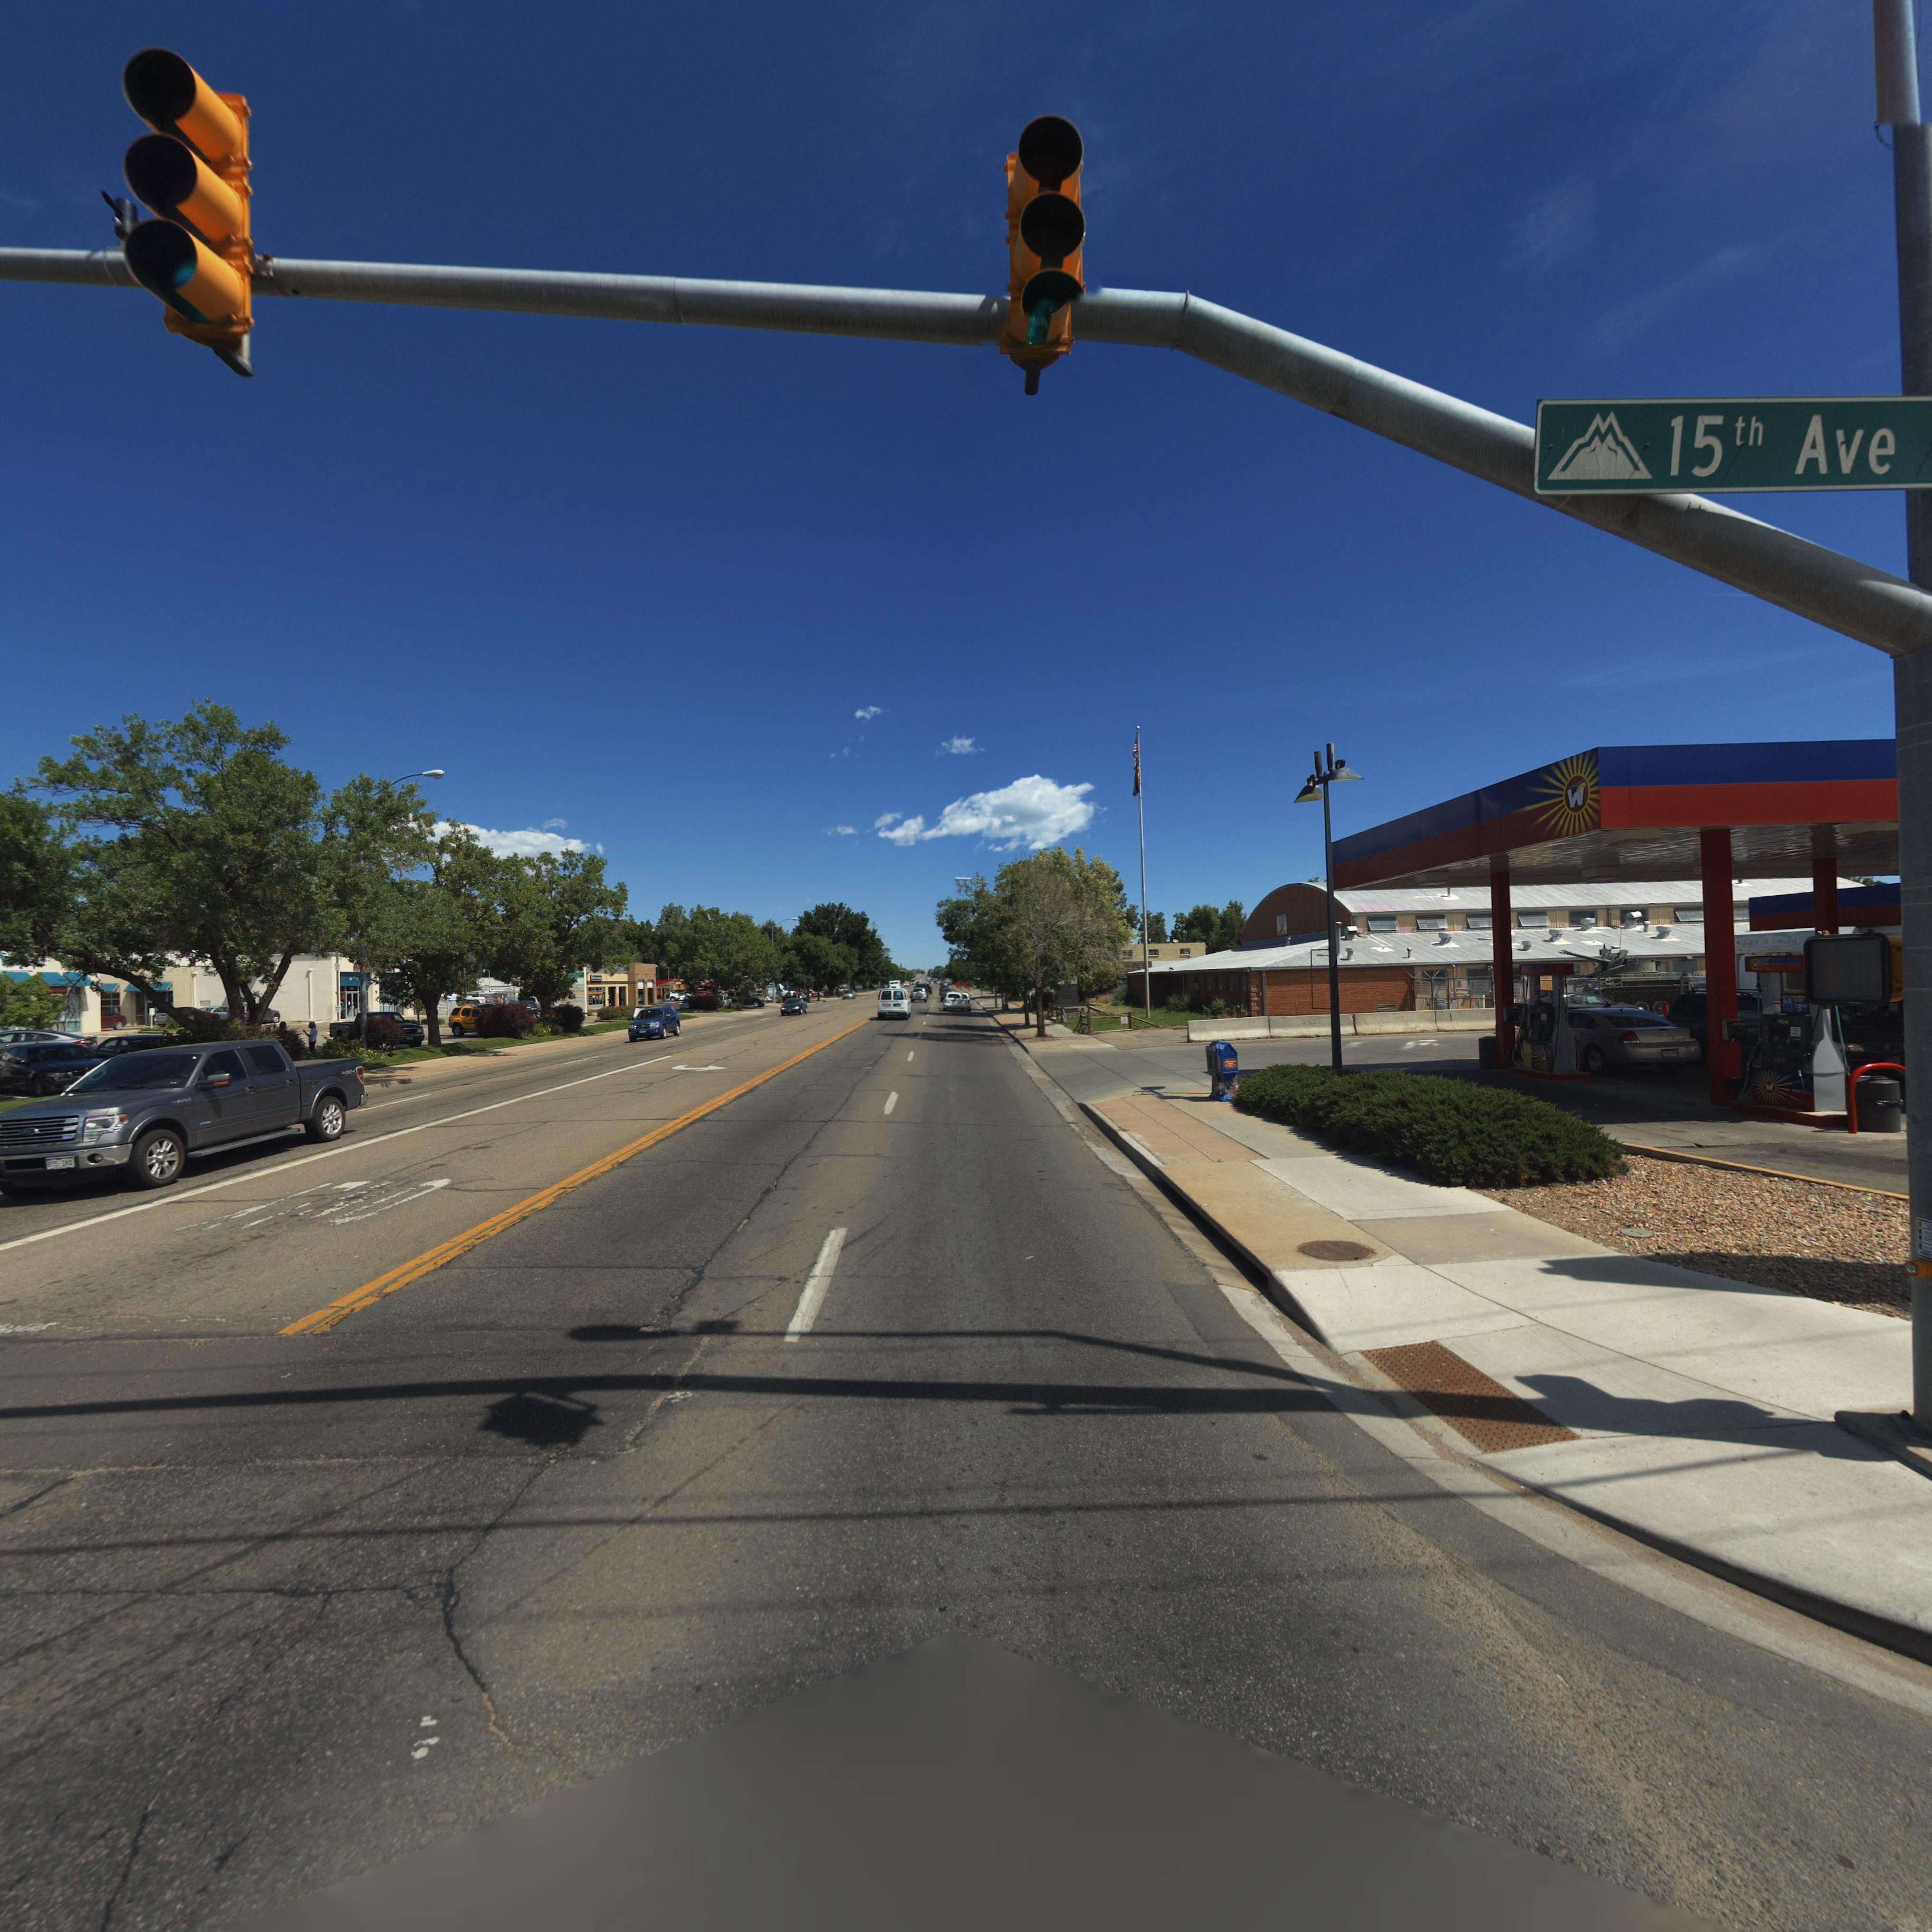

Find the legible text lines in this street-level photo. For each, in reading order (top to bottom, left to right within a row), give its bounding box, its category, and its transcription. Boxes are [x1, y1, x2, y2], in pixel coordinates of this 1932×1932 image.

[1667, 410, 1900, 477] StreetName: 15th Ave